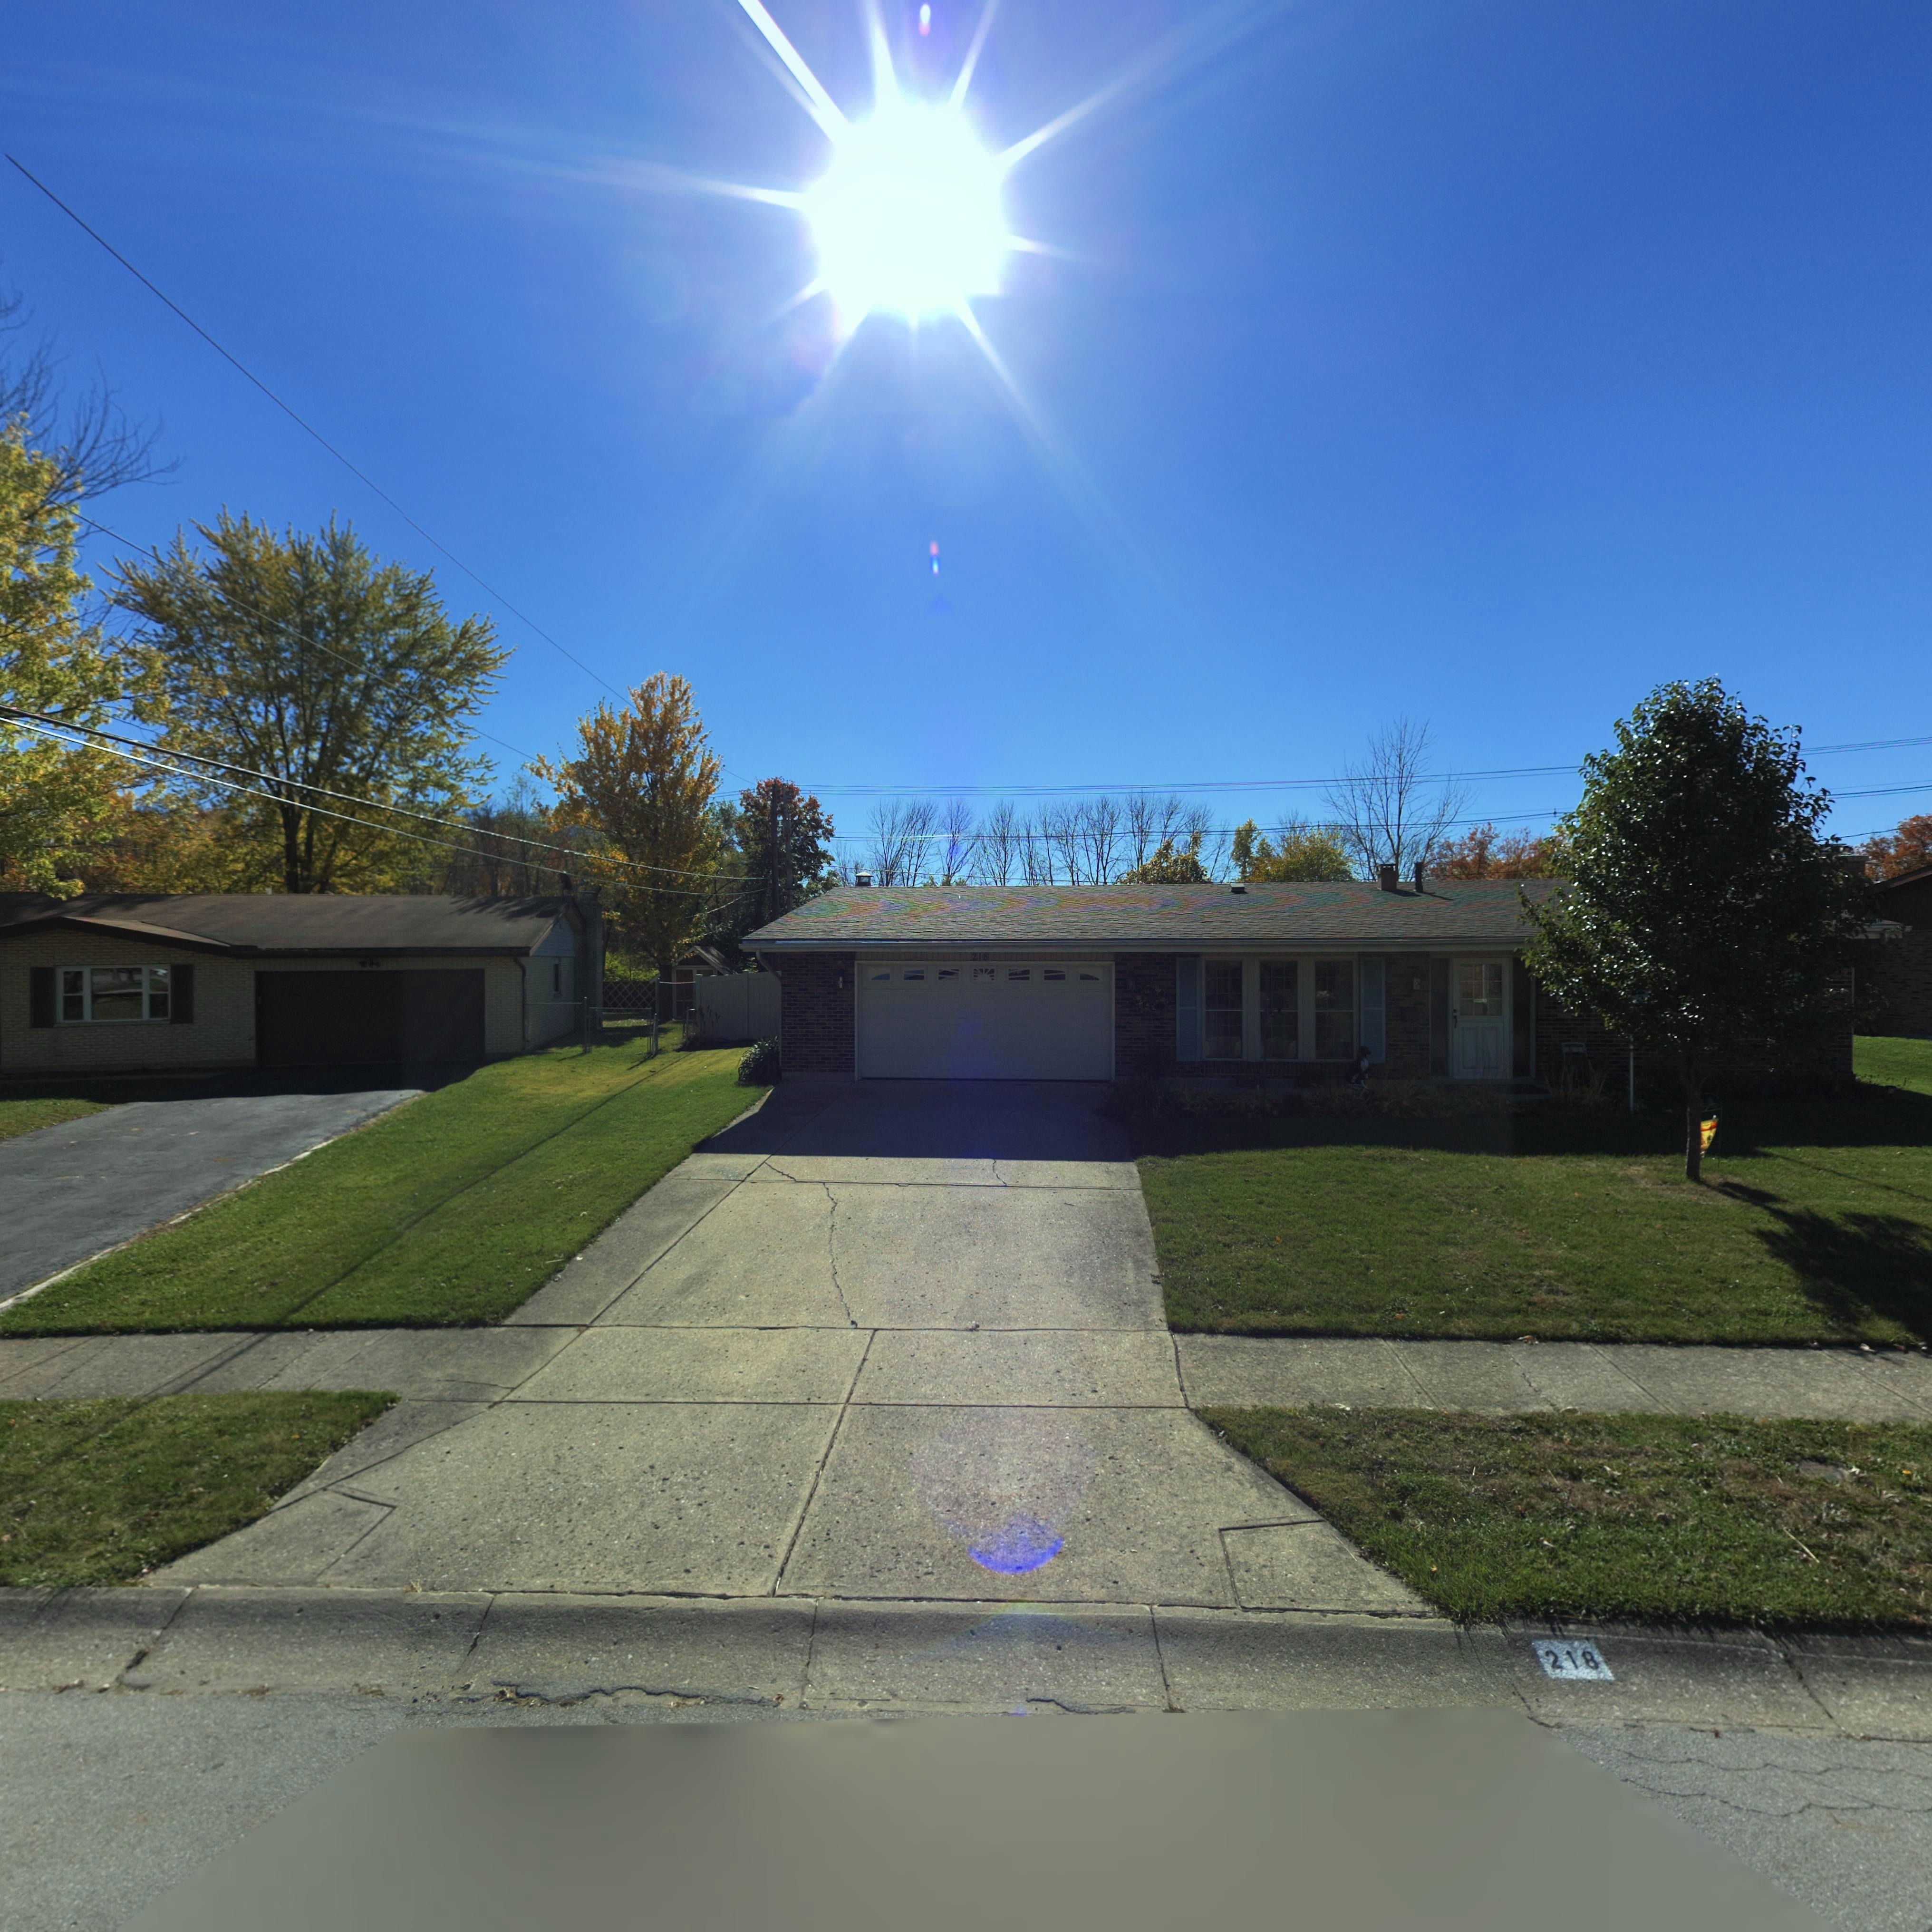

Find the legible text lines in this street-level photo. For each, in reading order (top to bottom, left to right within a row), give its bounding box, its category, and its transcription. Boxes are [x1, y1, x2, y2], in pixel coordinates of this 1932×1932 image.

[971, 952, 988, 961] StreetNumber: 218
[375, 959, 382, 968] StreetNumber: 6
[1544, 1649, 1602, 1670] StreetNumber: 218